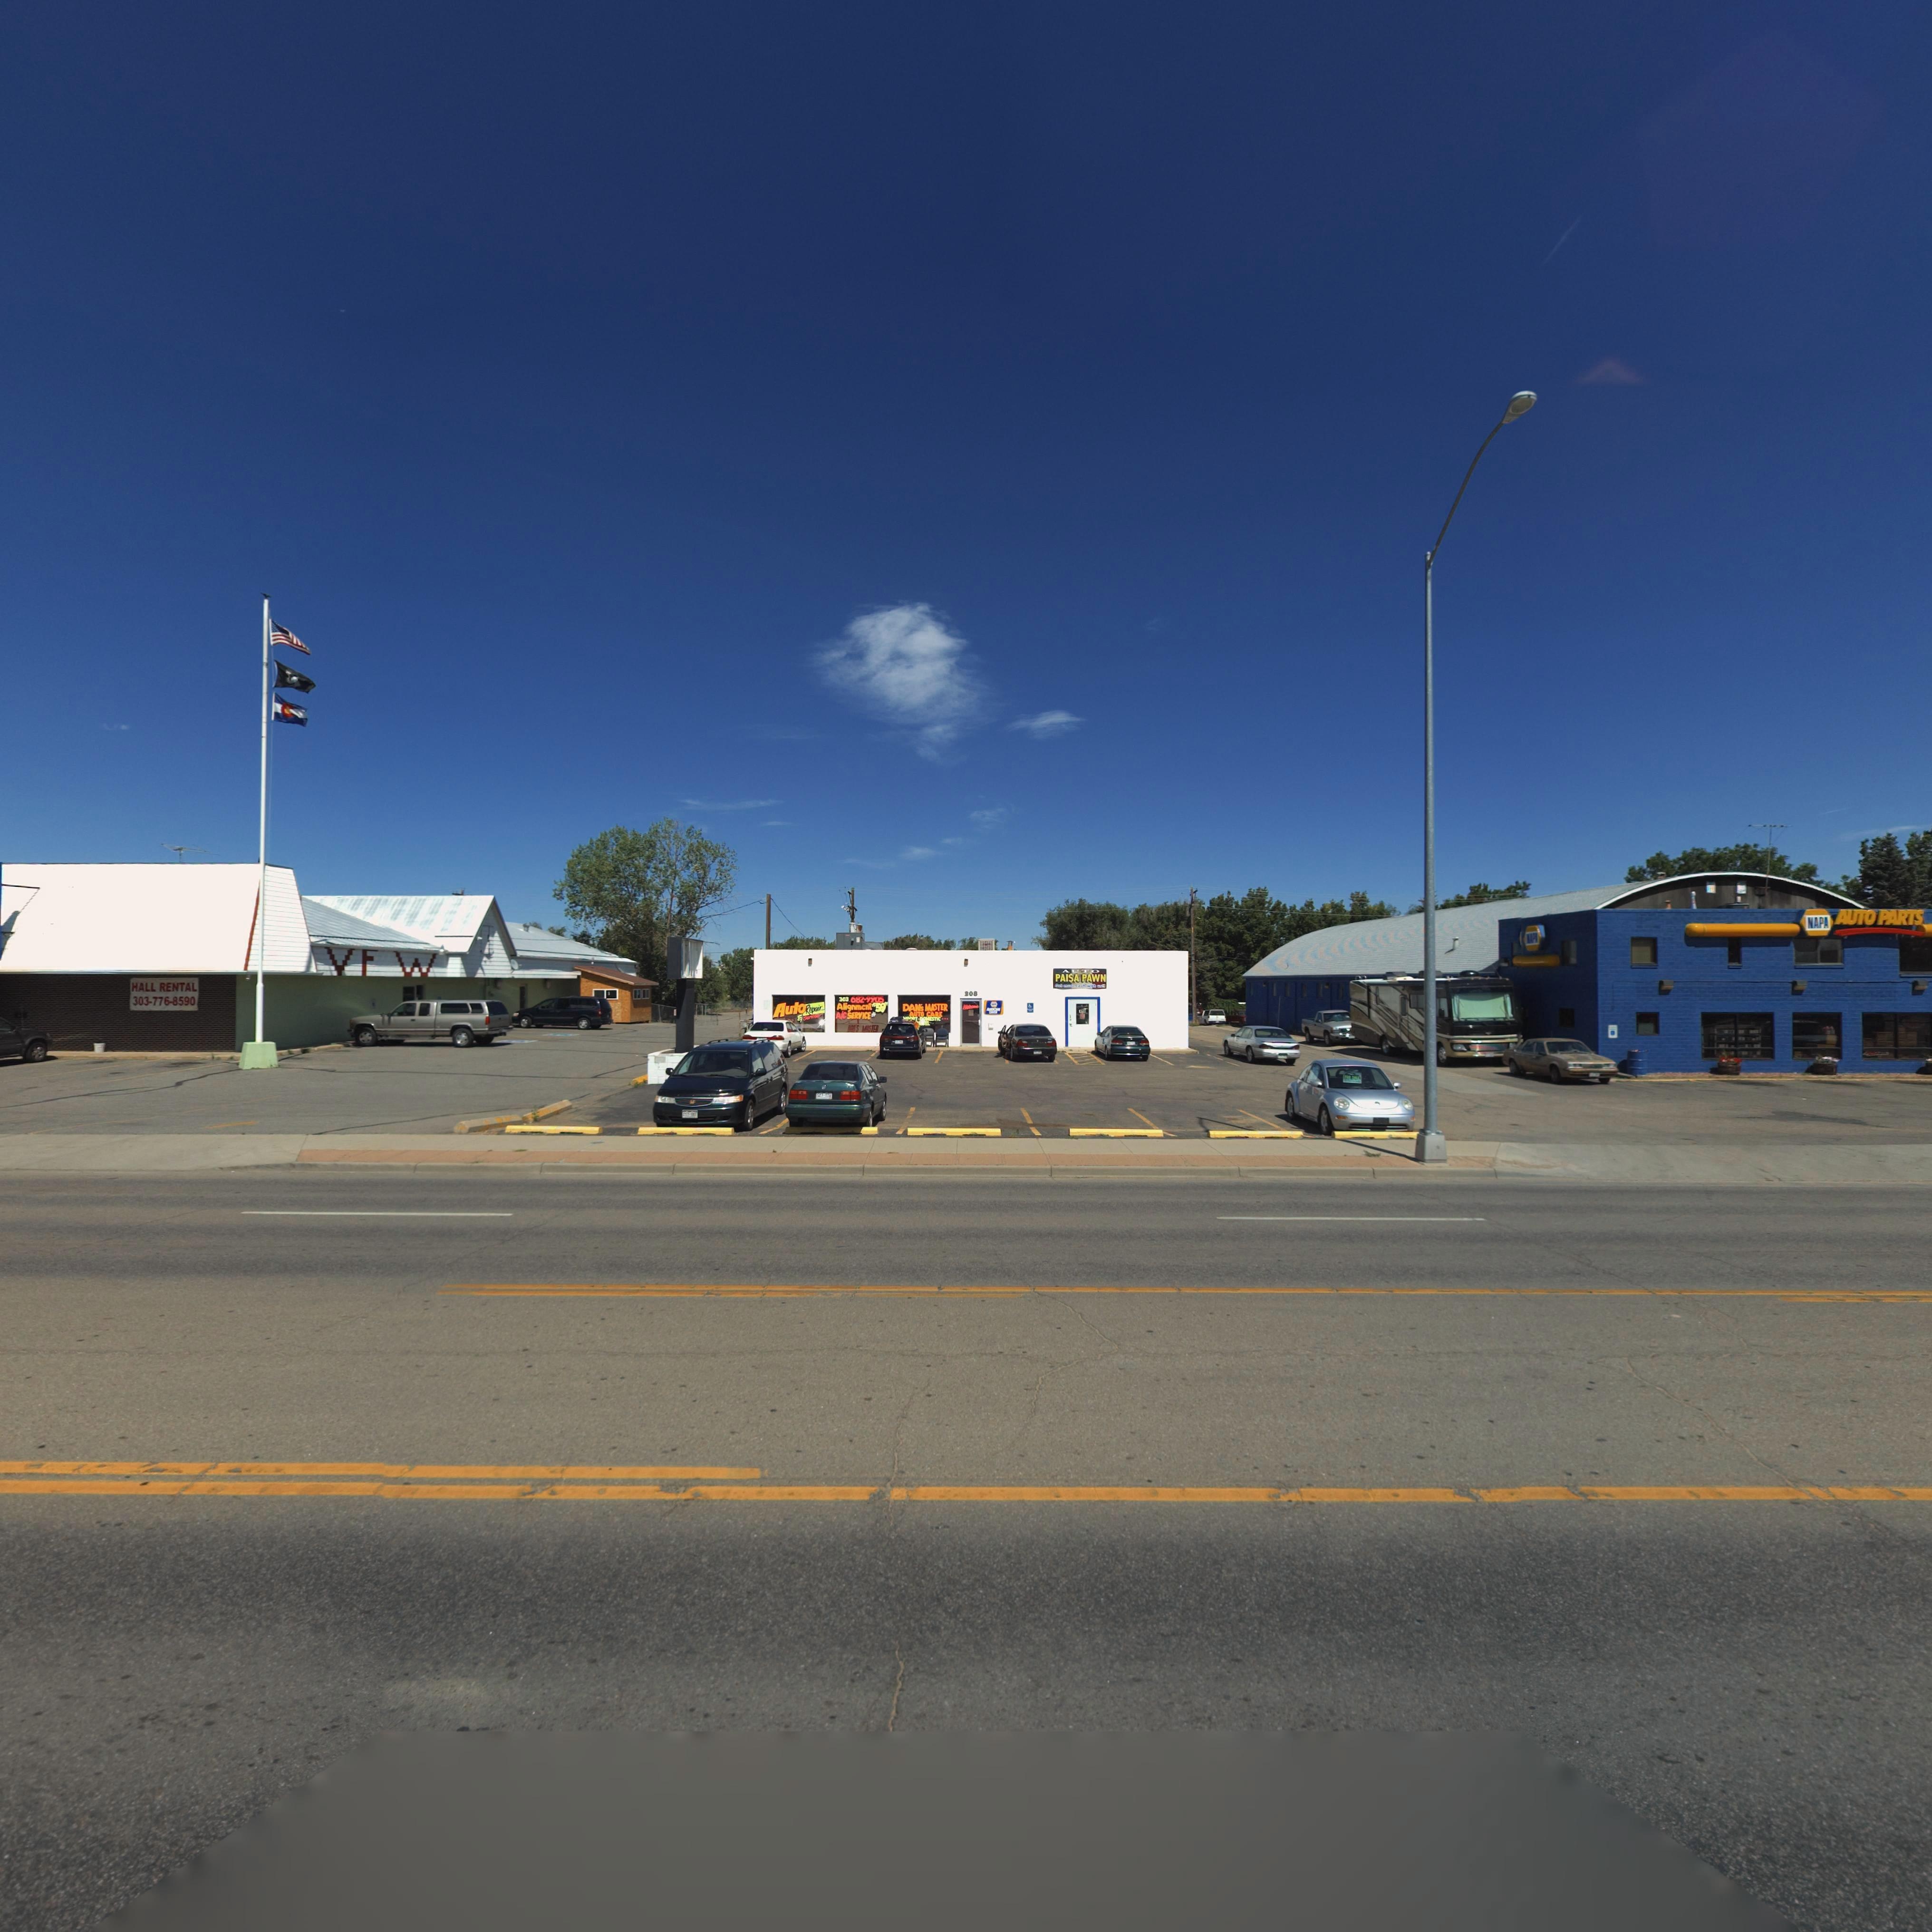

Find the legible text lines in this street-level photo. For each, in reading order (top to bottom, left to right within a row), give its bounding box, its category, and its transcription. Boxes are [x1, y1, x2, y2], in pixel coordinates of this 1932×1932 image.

[1806, 916, 1830, 928] BusinessName: NAPA
[1832, 908, 1925, 925] BusinessName: AUTO PARTS
[1526, 931, 1538, 944] BusinessName: NAPA
[319, 945, 442, 978] BusinessName: VFW
[1061, 968, 1100, 973] BusinessName: AUTO
[1054, 974, 1106, 982] BusinessName: PAISA PAWN
[964, 990, 978, 996] StreetNumber: 208